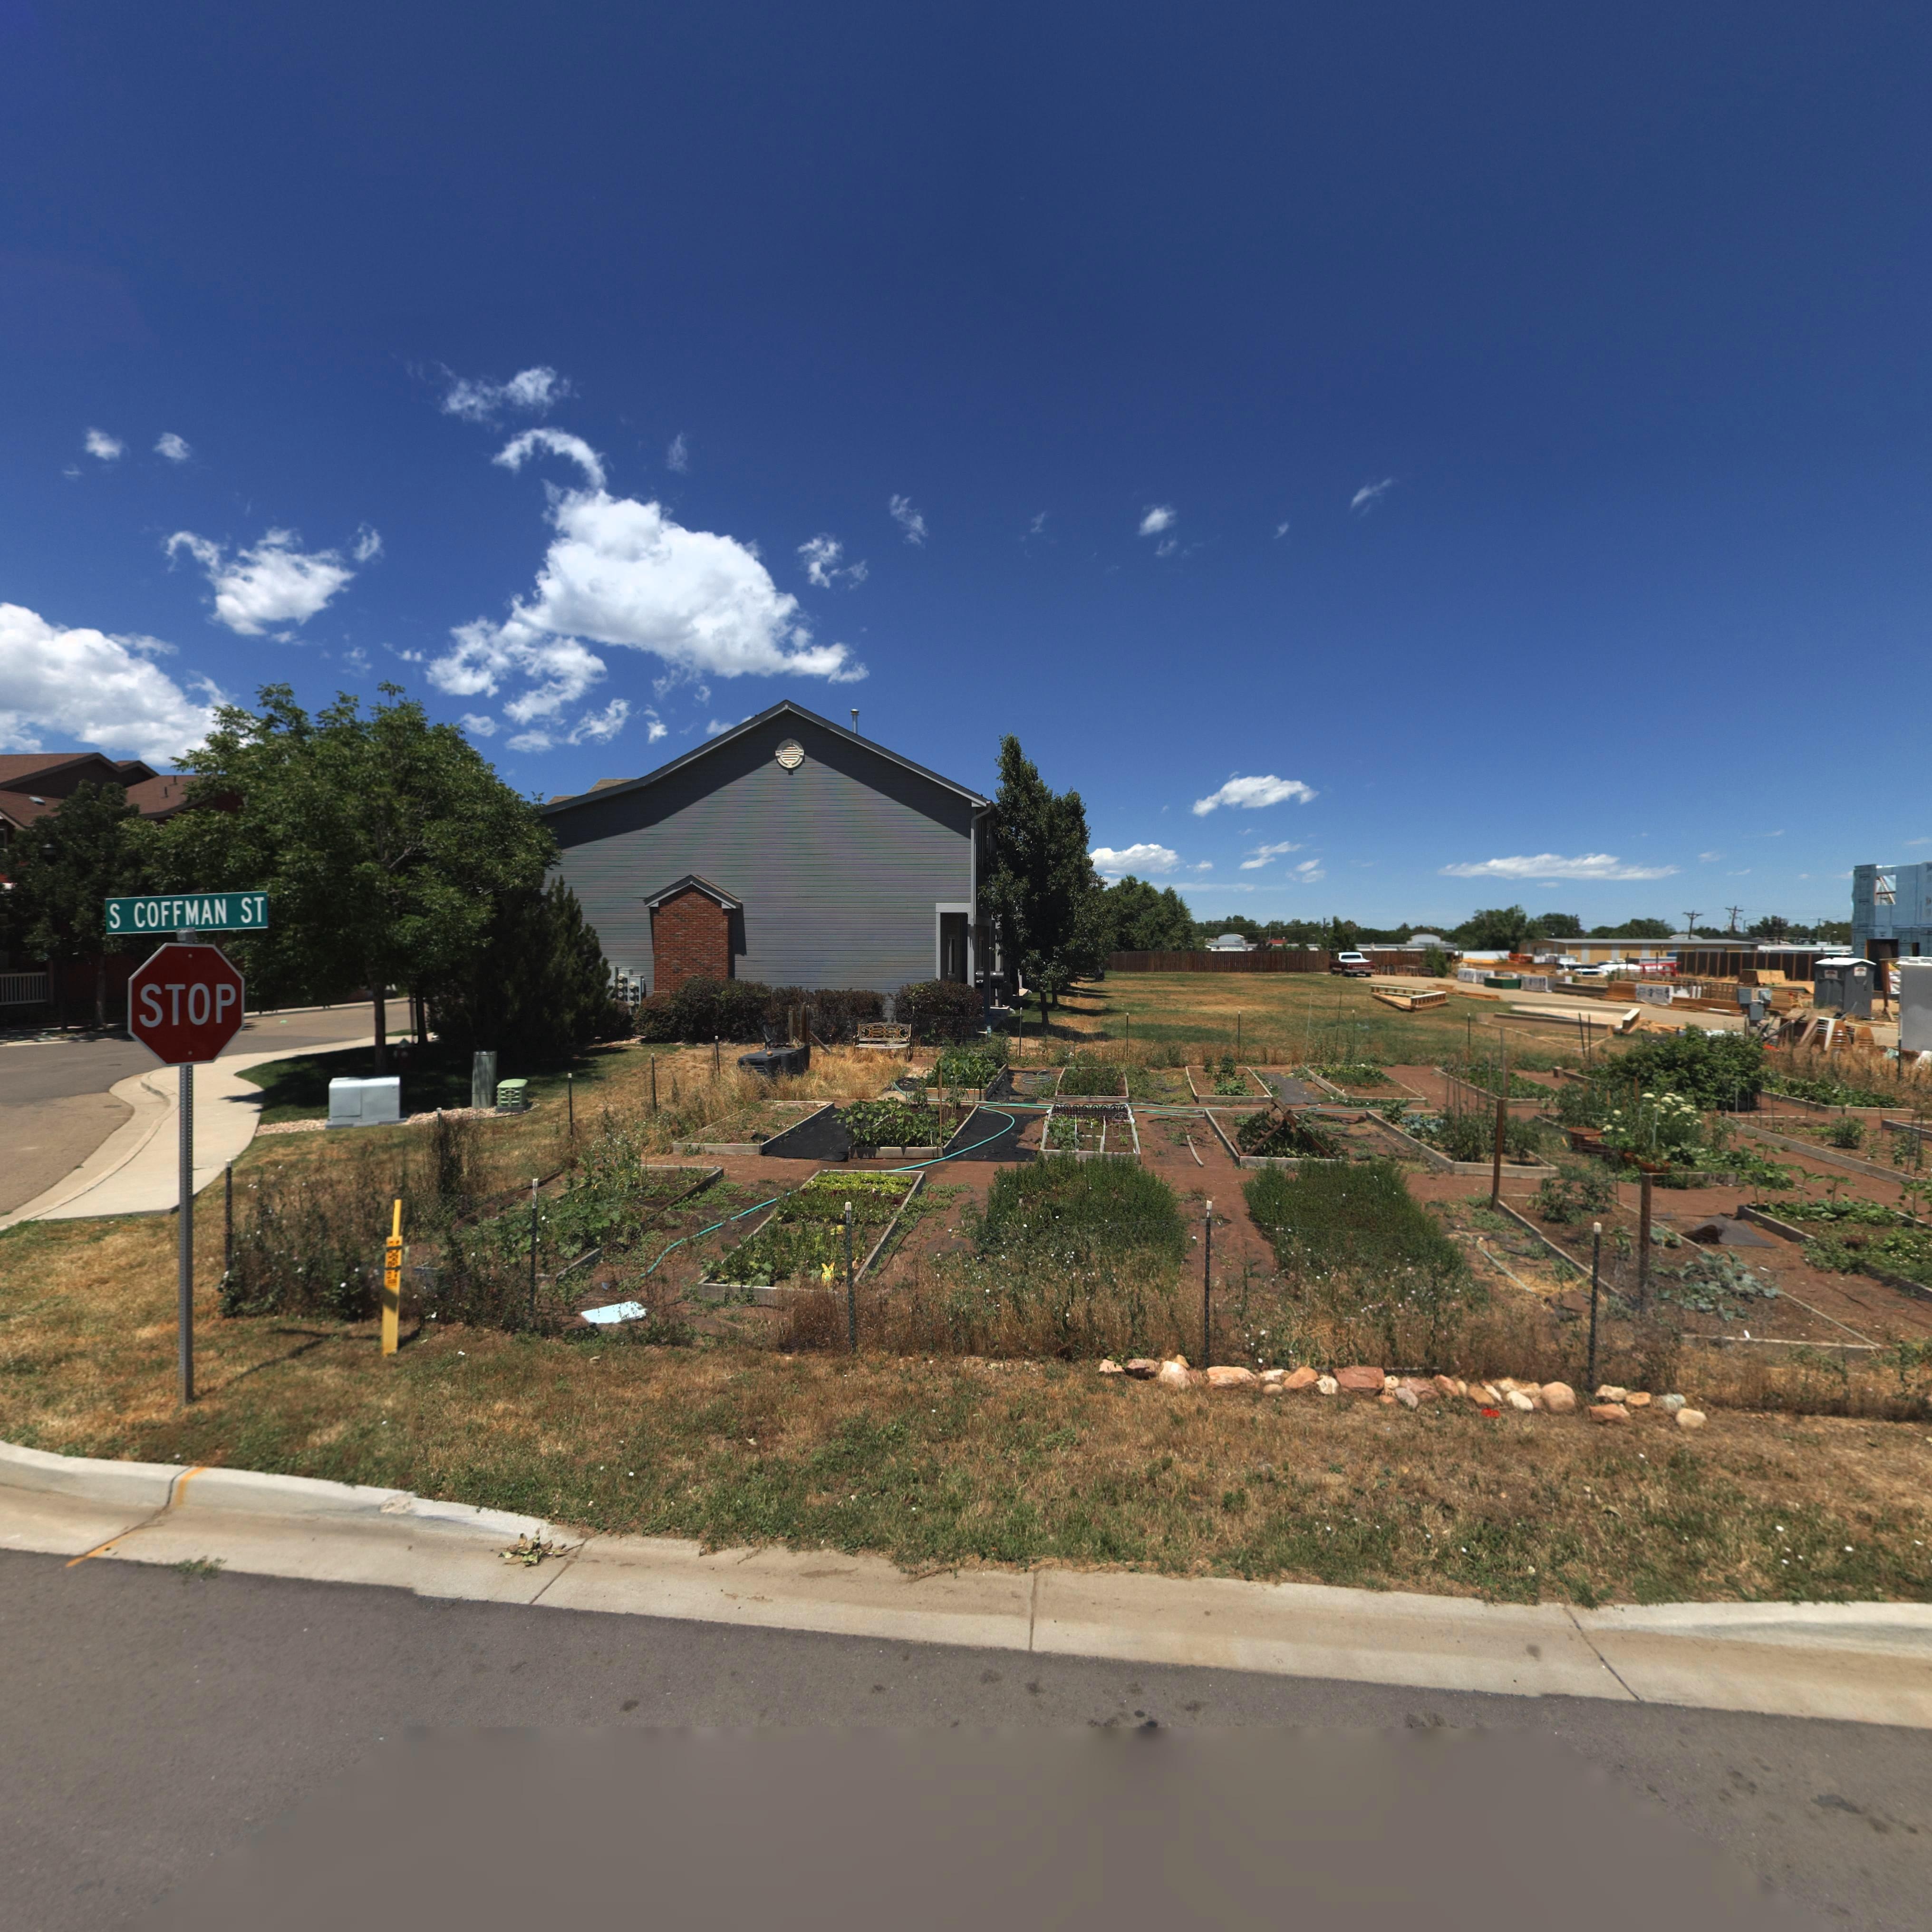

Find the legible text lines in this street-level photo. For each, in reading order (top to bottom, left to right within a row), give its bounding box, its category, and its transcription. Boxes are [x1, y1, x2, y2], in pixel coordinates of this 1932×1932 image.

[108, 896, 265, 929] StreetName: S COFFMAN ST